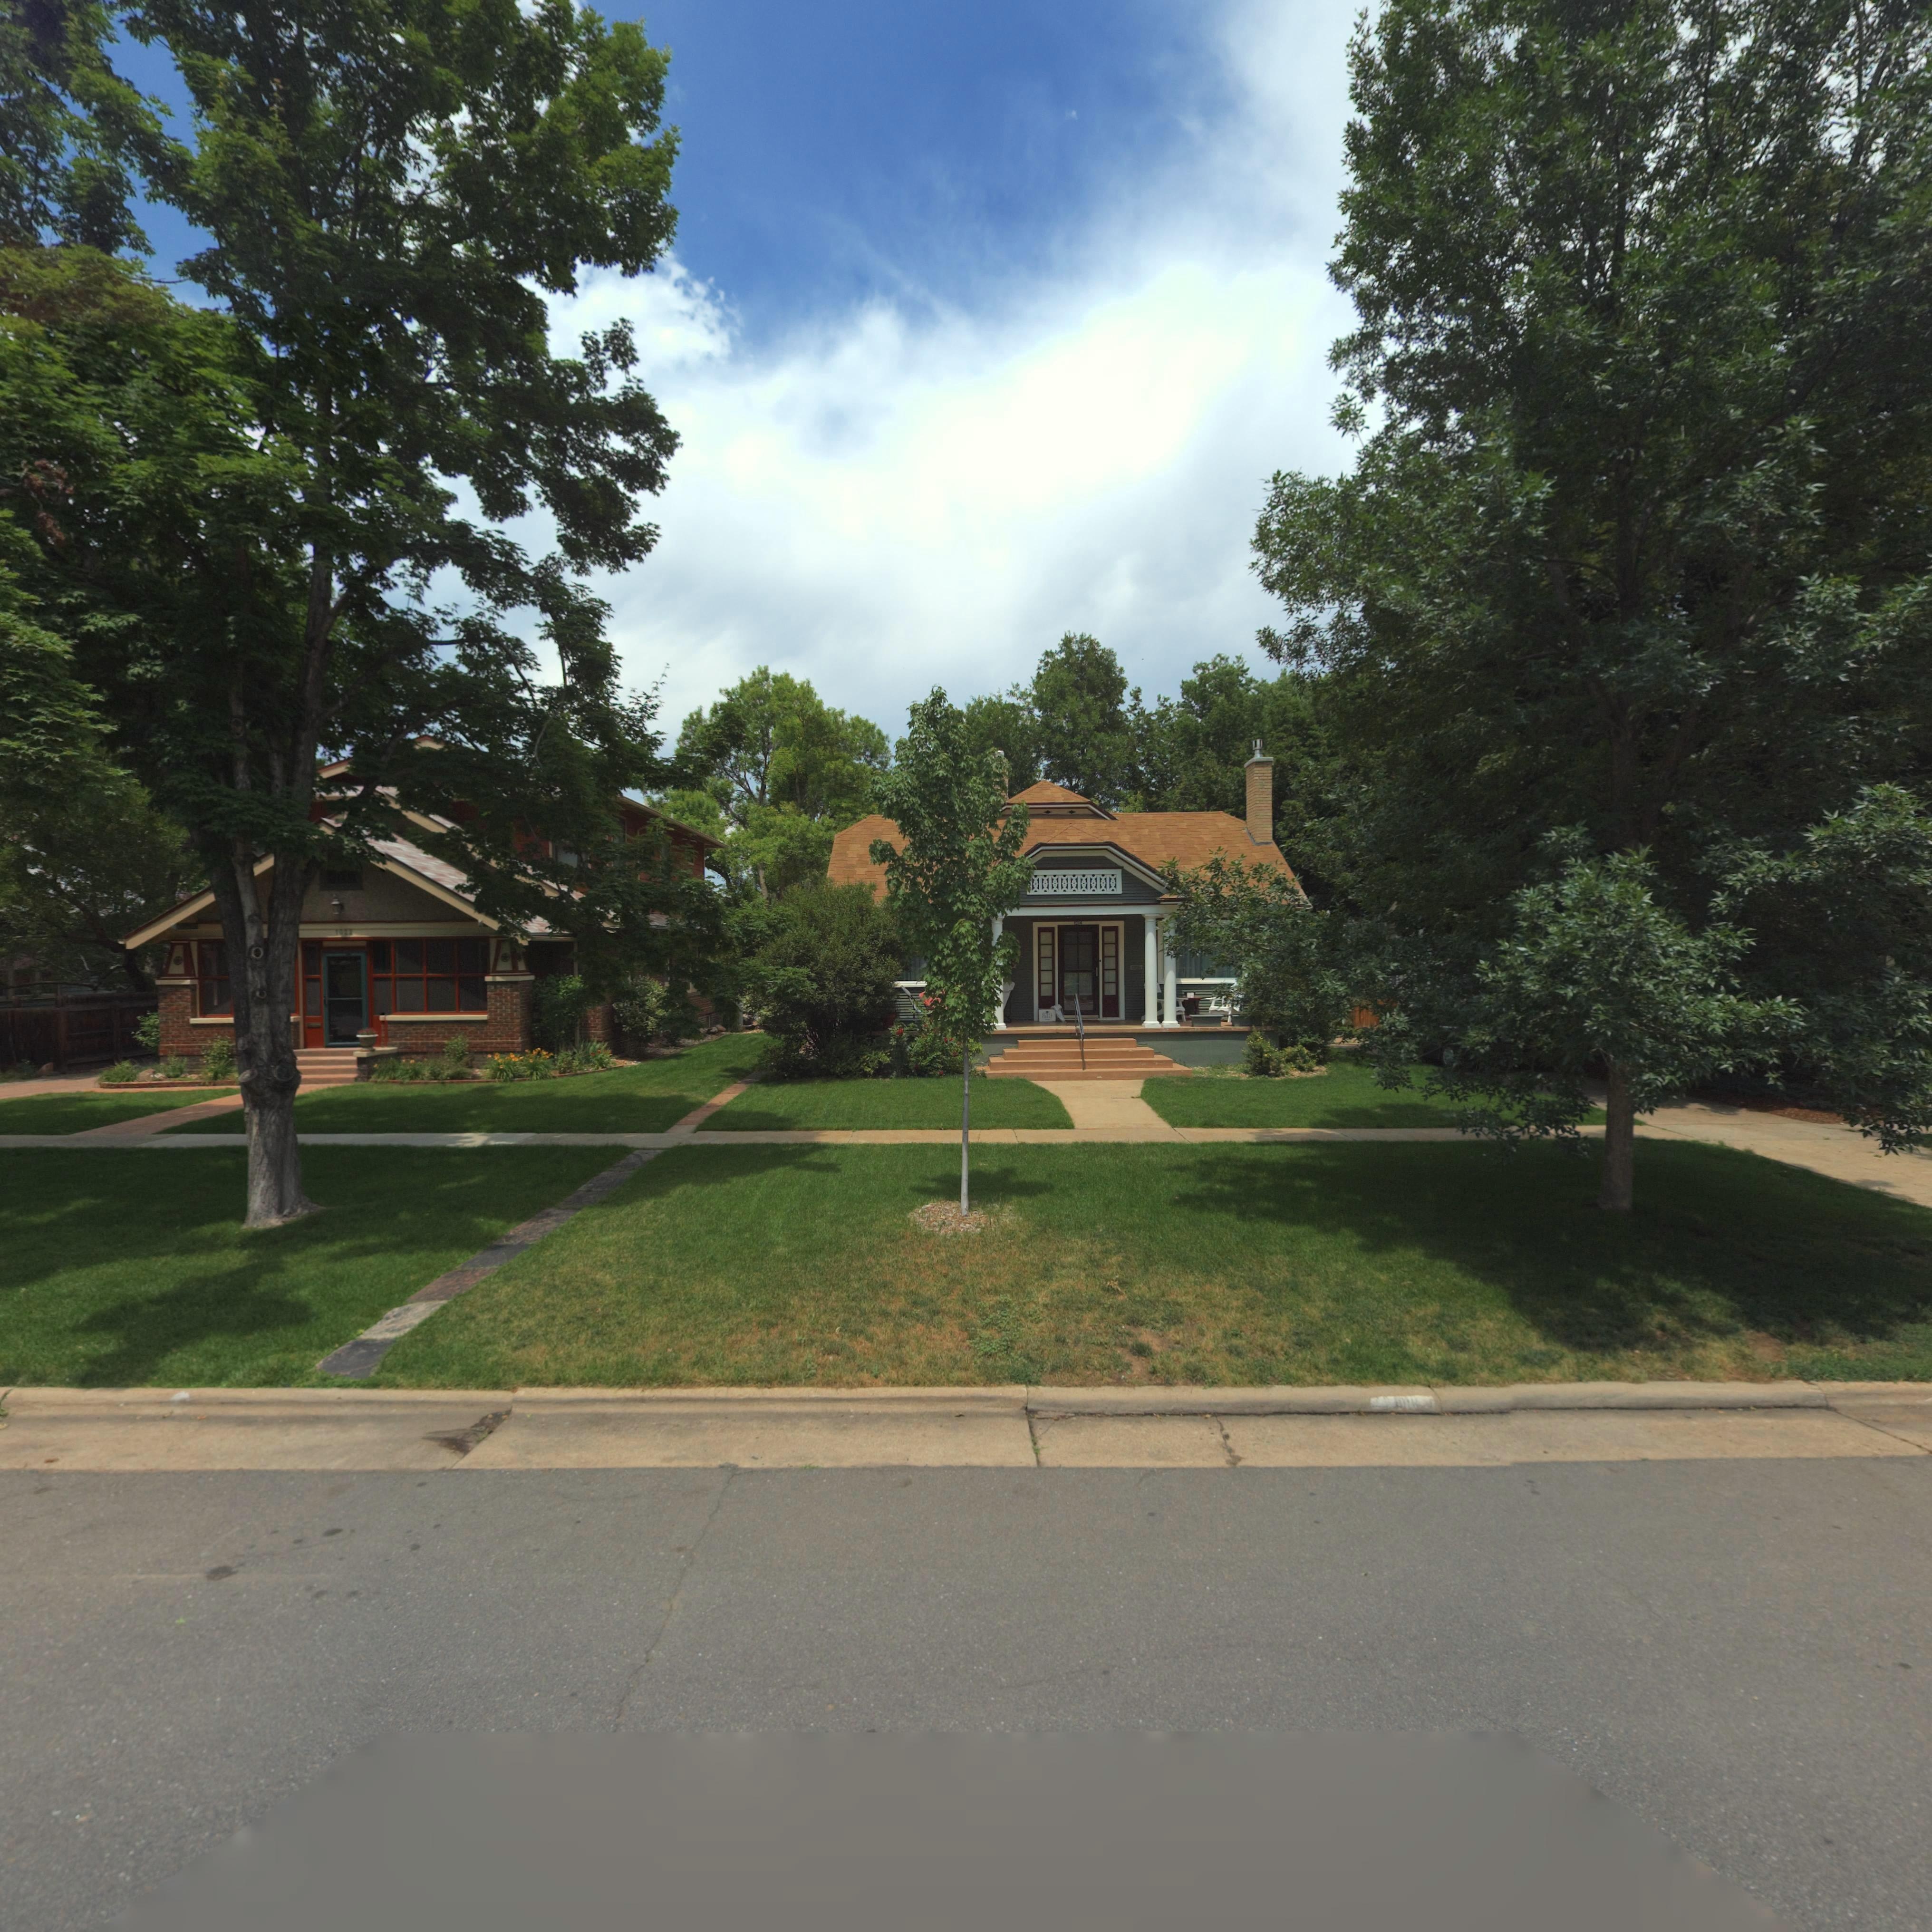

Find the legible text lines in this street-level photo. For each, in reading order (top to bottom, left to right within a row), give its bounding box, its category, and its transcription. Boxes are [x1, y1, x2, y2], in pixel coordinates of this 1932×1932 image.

[1073, 920, 1082, 925] StreetNumber: 1014
[334, 928, 353, 936] StreetNumber: 1022